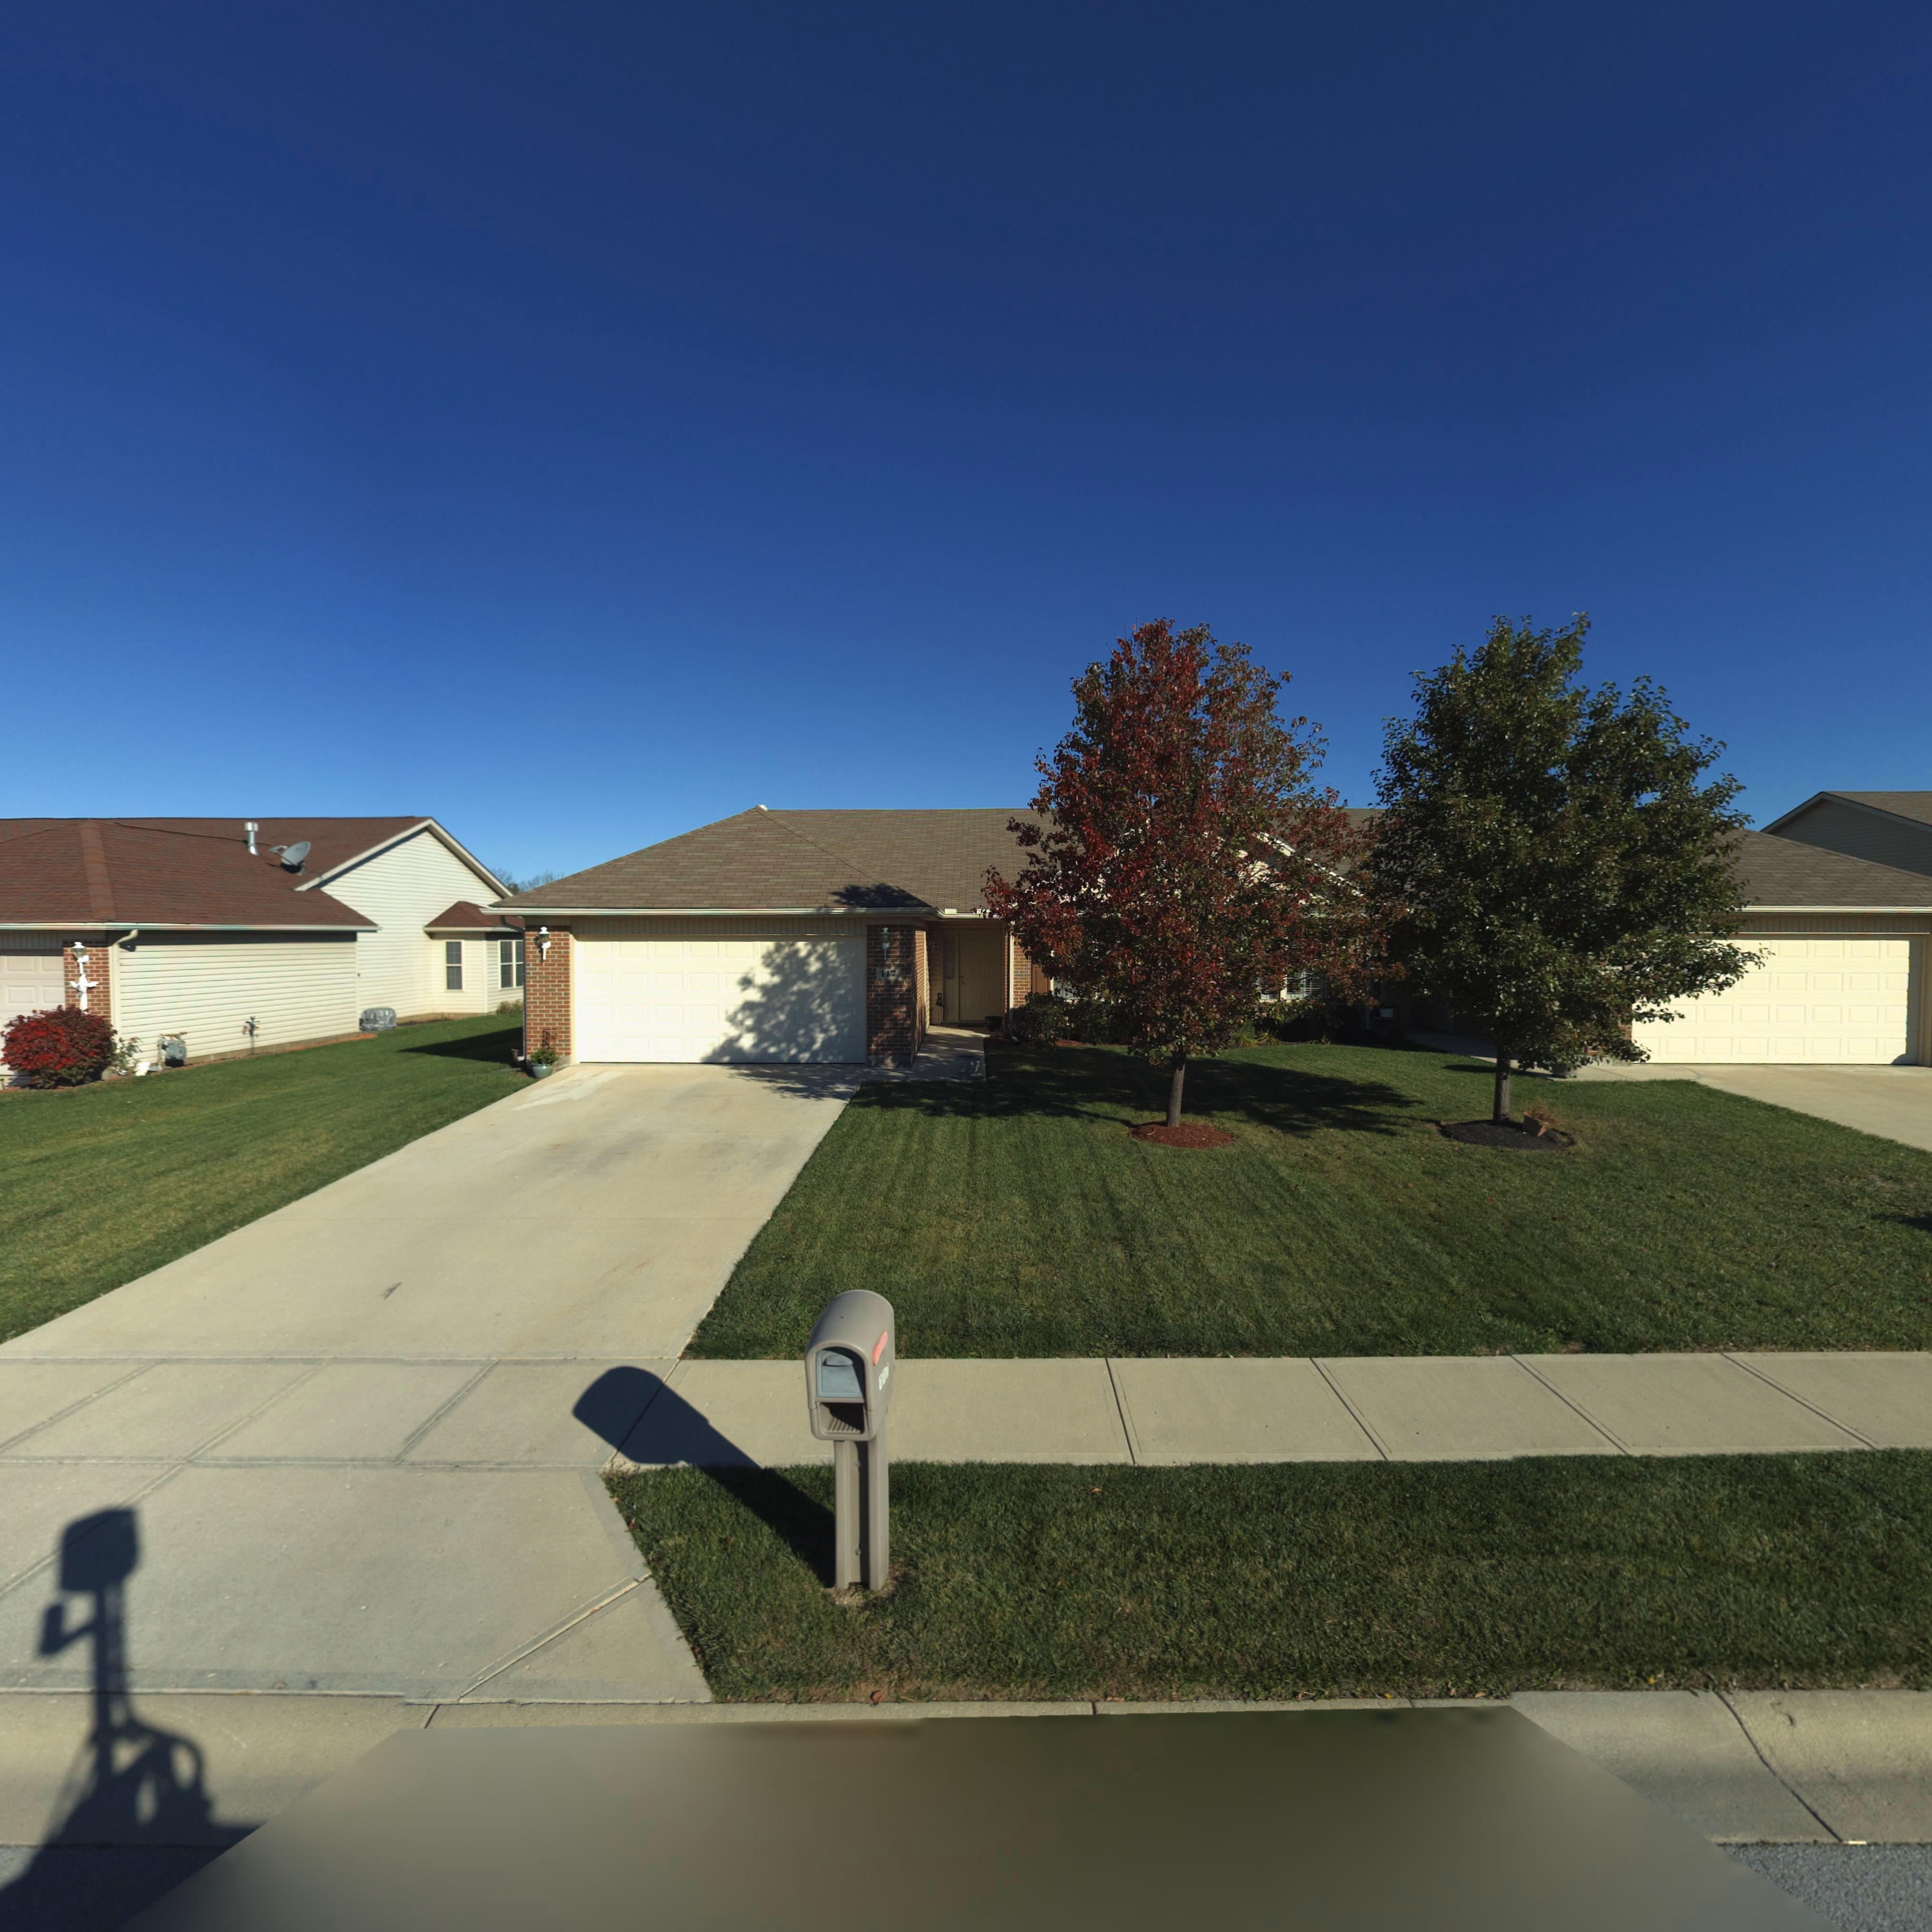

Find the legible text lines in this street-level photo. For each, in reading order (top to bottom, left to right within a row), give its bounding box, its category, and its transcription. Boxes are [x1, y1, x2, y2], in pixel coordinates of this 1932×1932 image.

[880, 969, 897, 978] StreetNumber: 117